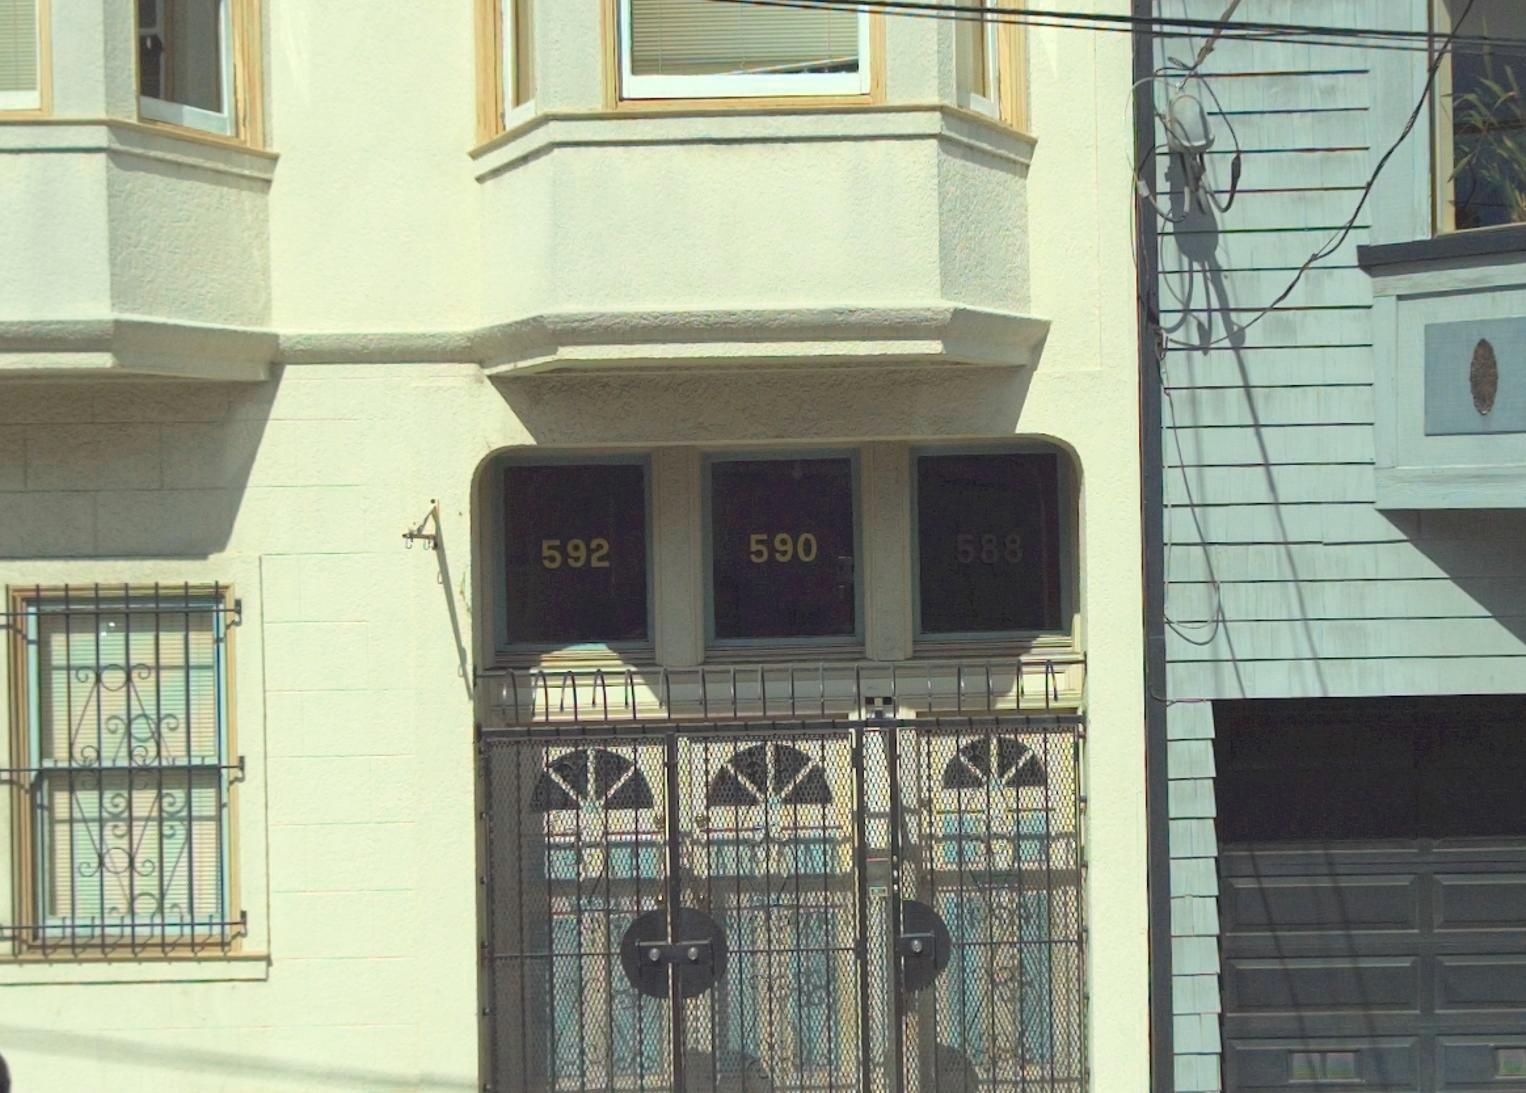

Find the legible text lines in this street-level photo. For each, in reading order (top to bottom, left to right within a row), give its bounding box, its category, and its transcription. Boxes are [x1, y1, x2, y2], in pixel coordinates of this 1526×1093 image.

[540, 535, 613, 572] StreetNumber: 592
[748, 529, 820, 566] StreetNumber: 590
[954, 526, 1029, 570] StreetNumber: 588